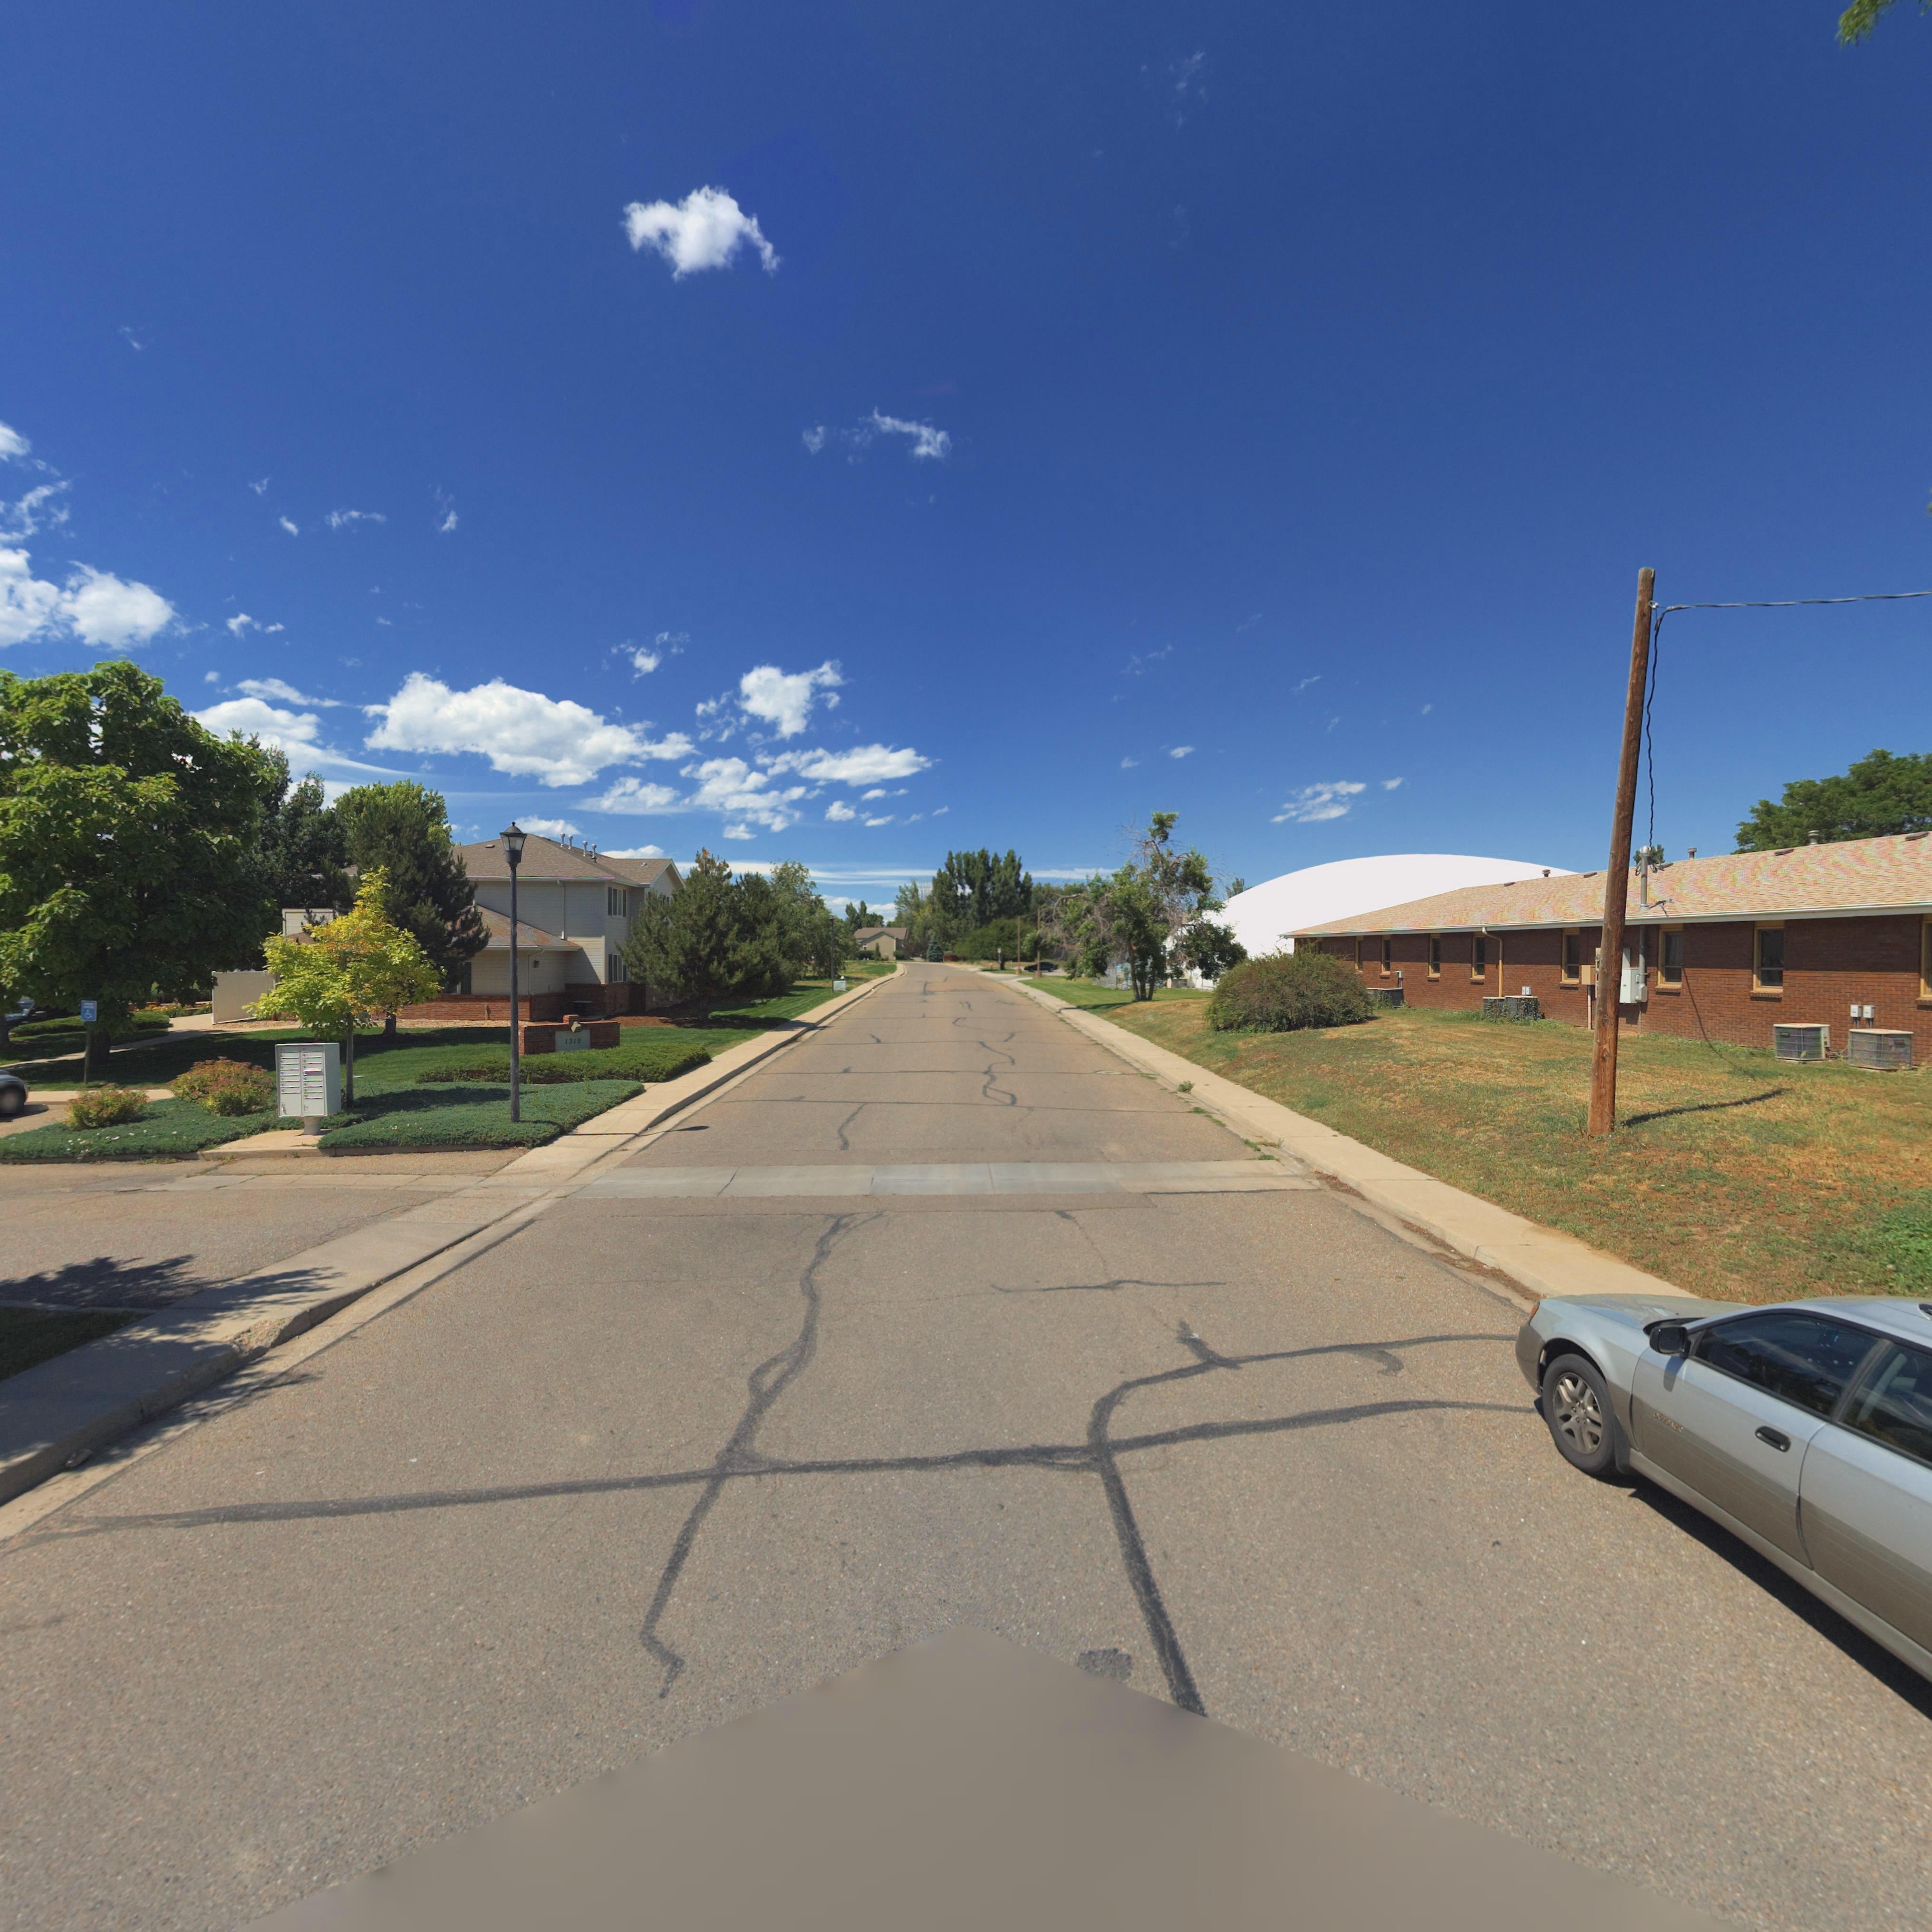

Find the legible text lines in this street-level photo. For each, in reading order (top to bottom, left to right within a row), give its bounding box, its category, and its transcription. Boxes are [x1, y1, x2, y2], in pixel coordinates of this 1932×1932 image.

[565, 1037, 581, 1044] StreetNumber: 1319